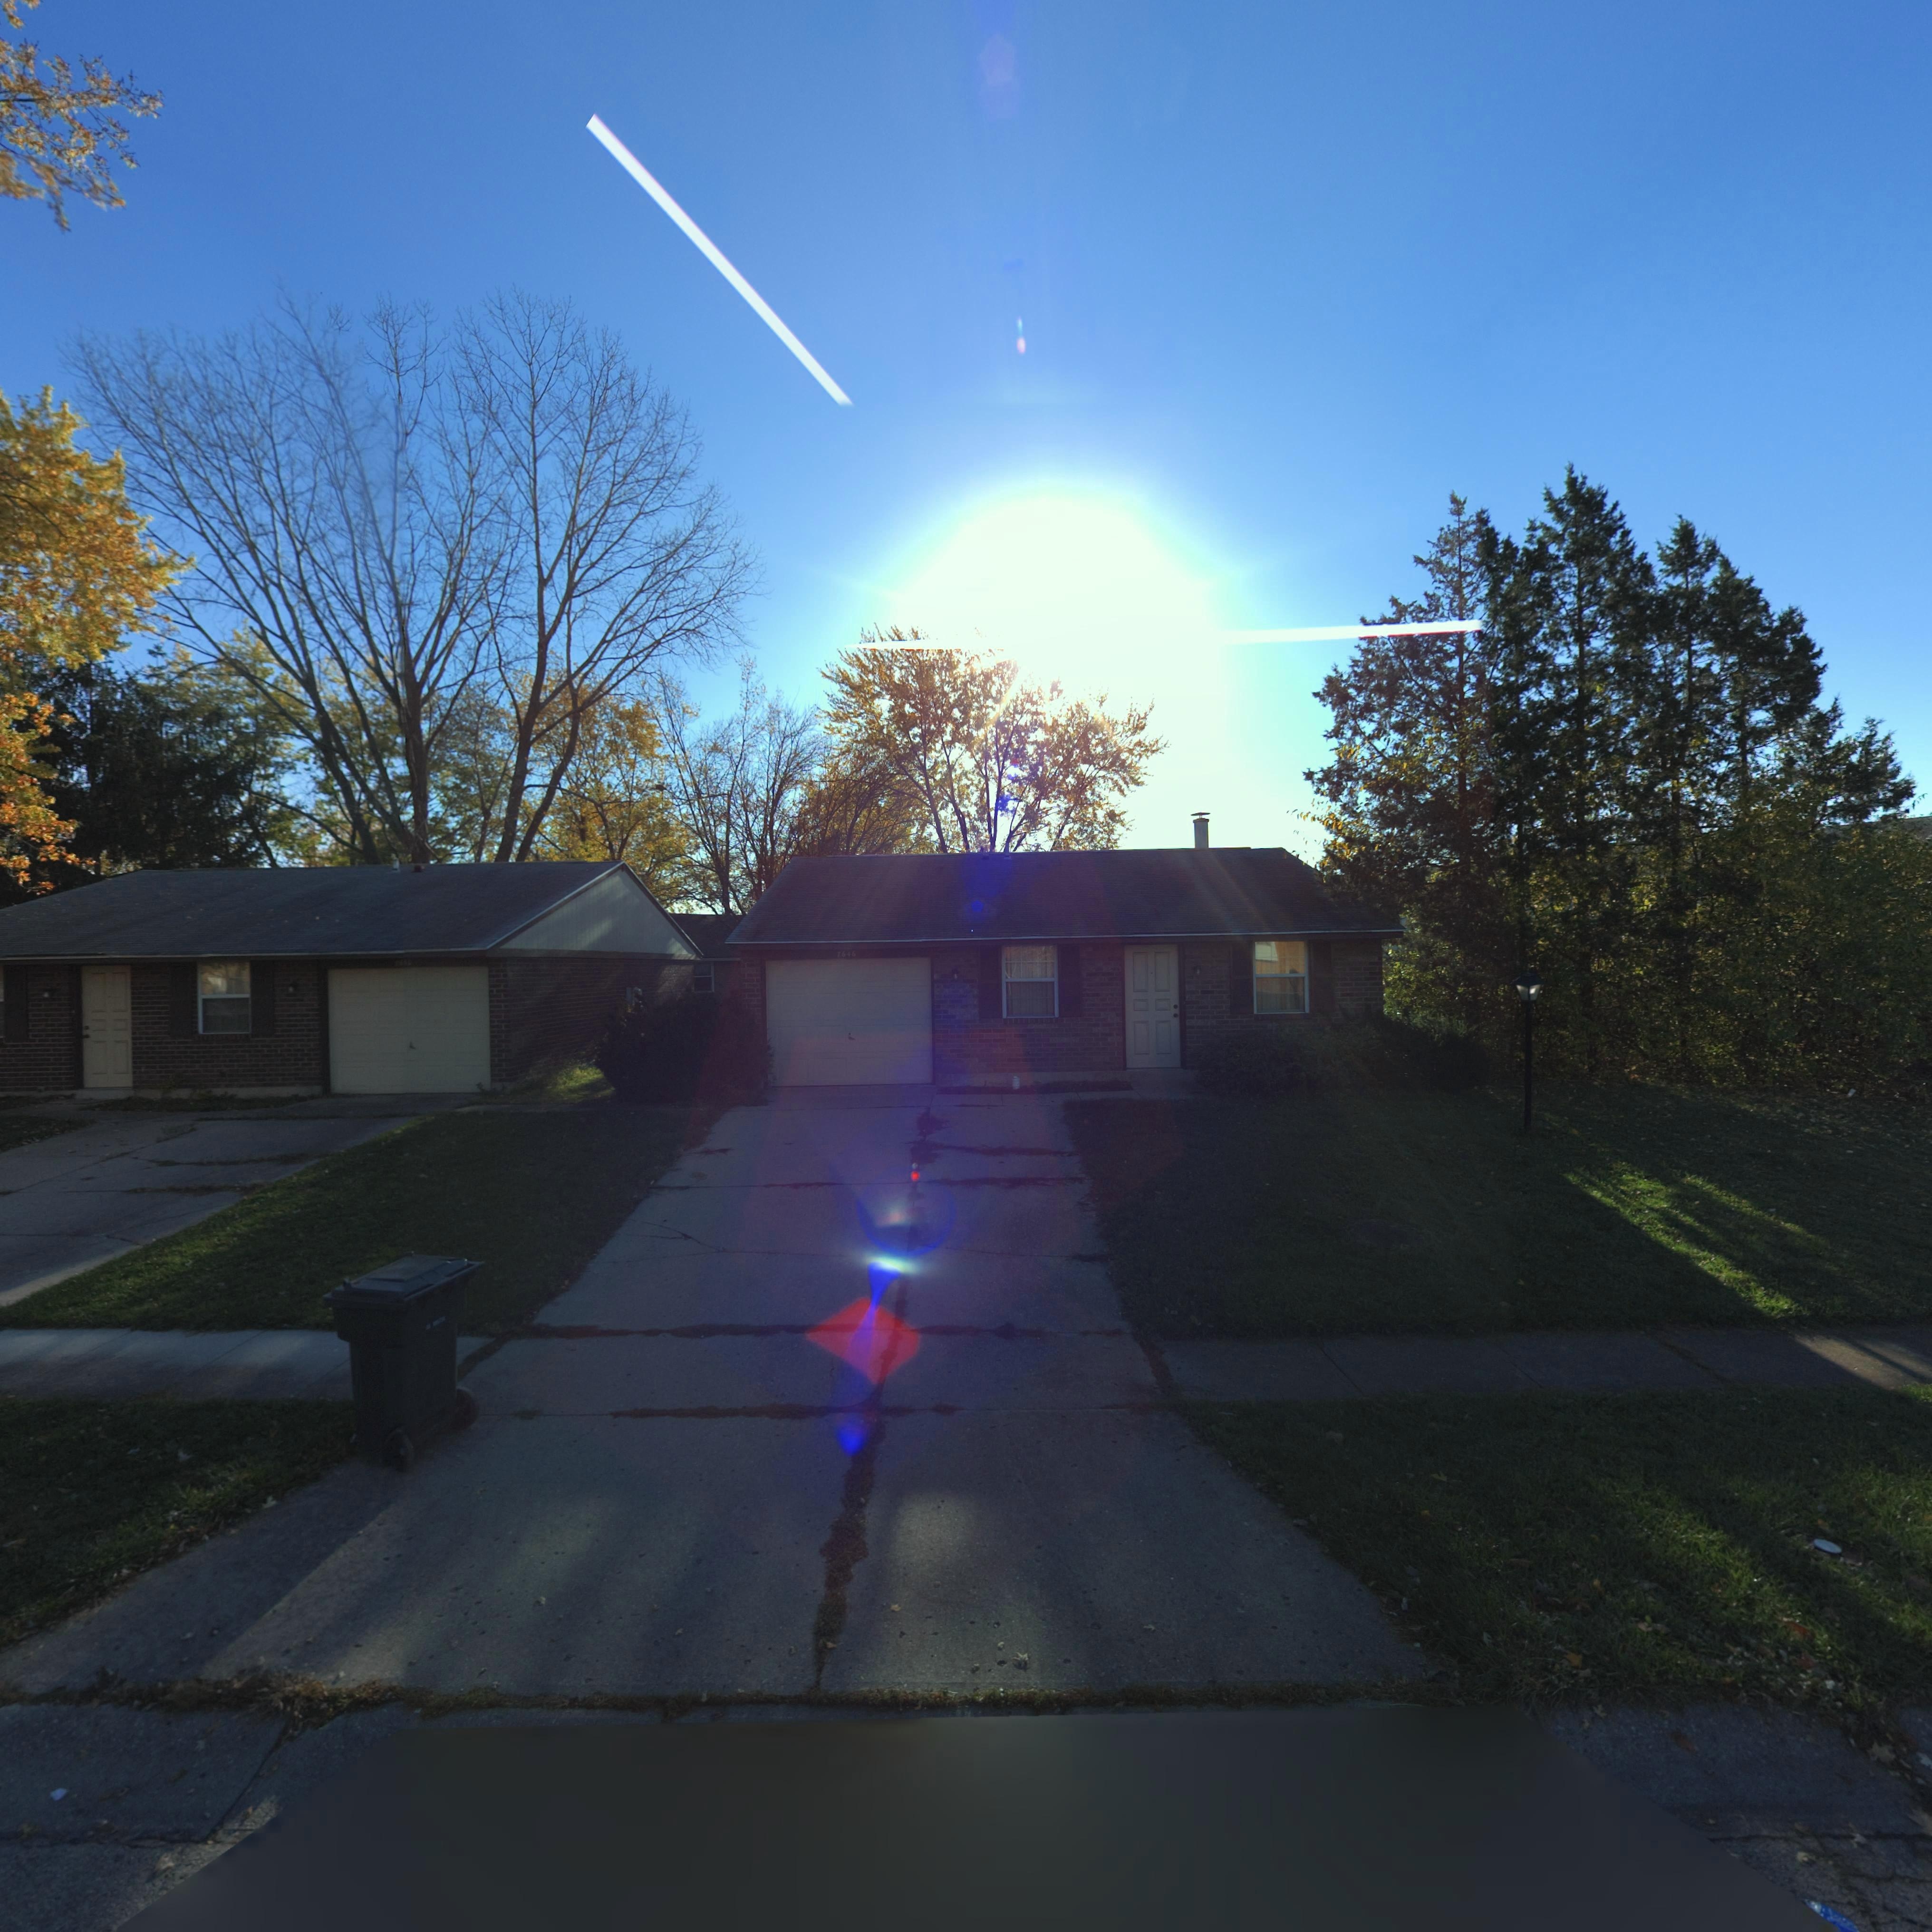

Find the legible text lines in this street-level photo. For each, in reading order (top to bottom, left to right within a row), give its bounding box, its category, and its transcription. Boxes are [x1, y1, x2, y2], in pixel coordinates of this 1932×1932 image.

[837, 950, 857, 958] StreetNumber: 7646
[394, 958, 413, 967] StreetNumber: 4650